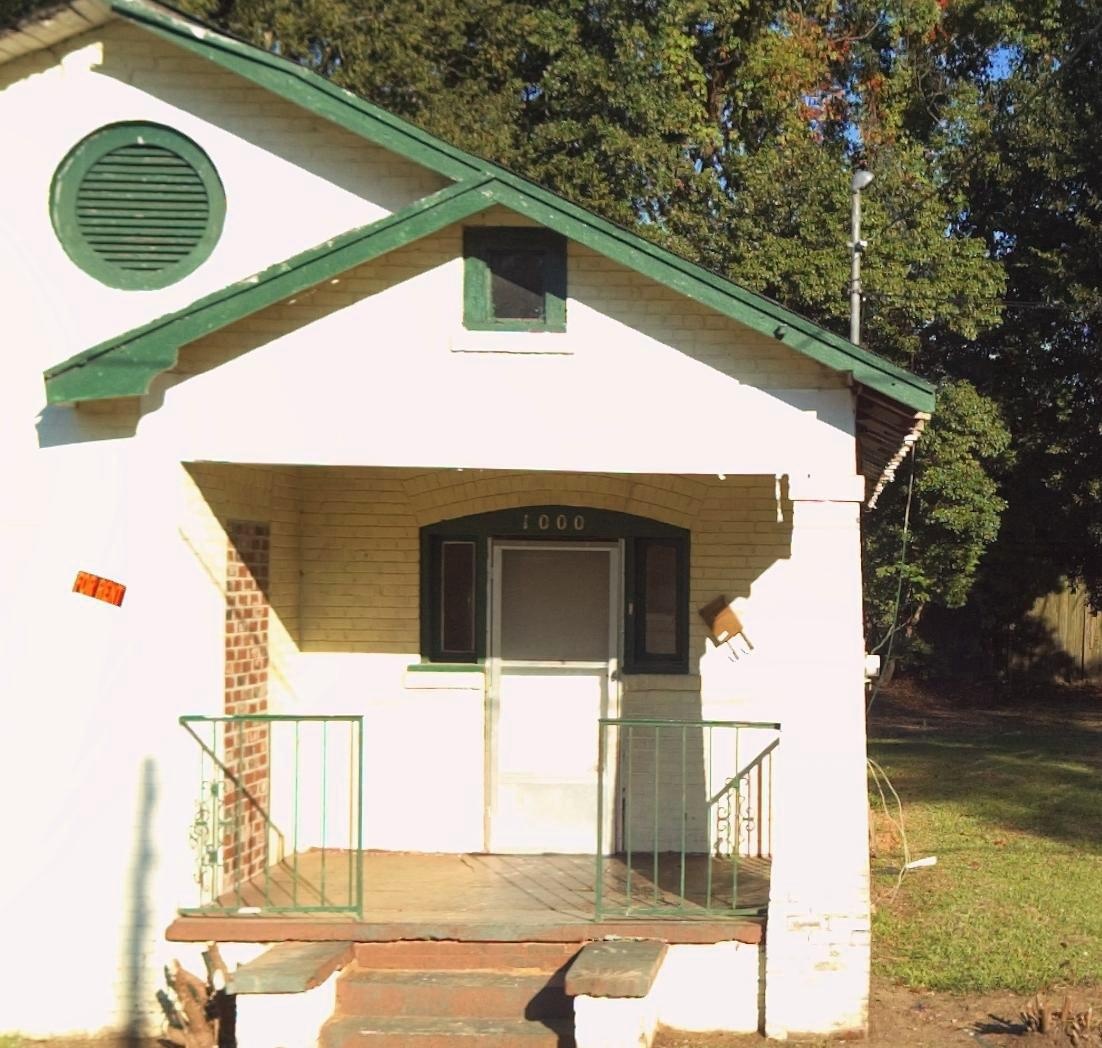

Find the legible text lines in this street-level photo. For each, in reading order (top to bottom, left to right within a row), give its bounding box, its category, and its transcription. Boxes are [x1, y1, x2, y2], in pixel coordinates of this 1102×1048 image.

[519, 511, 588, 533] StreetNumber: 1000
[69, 568, 129, 609] None: FOR RENT